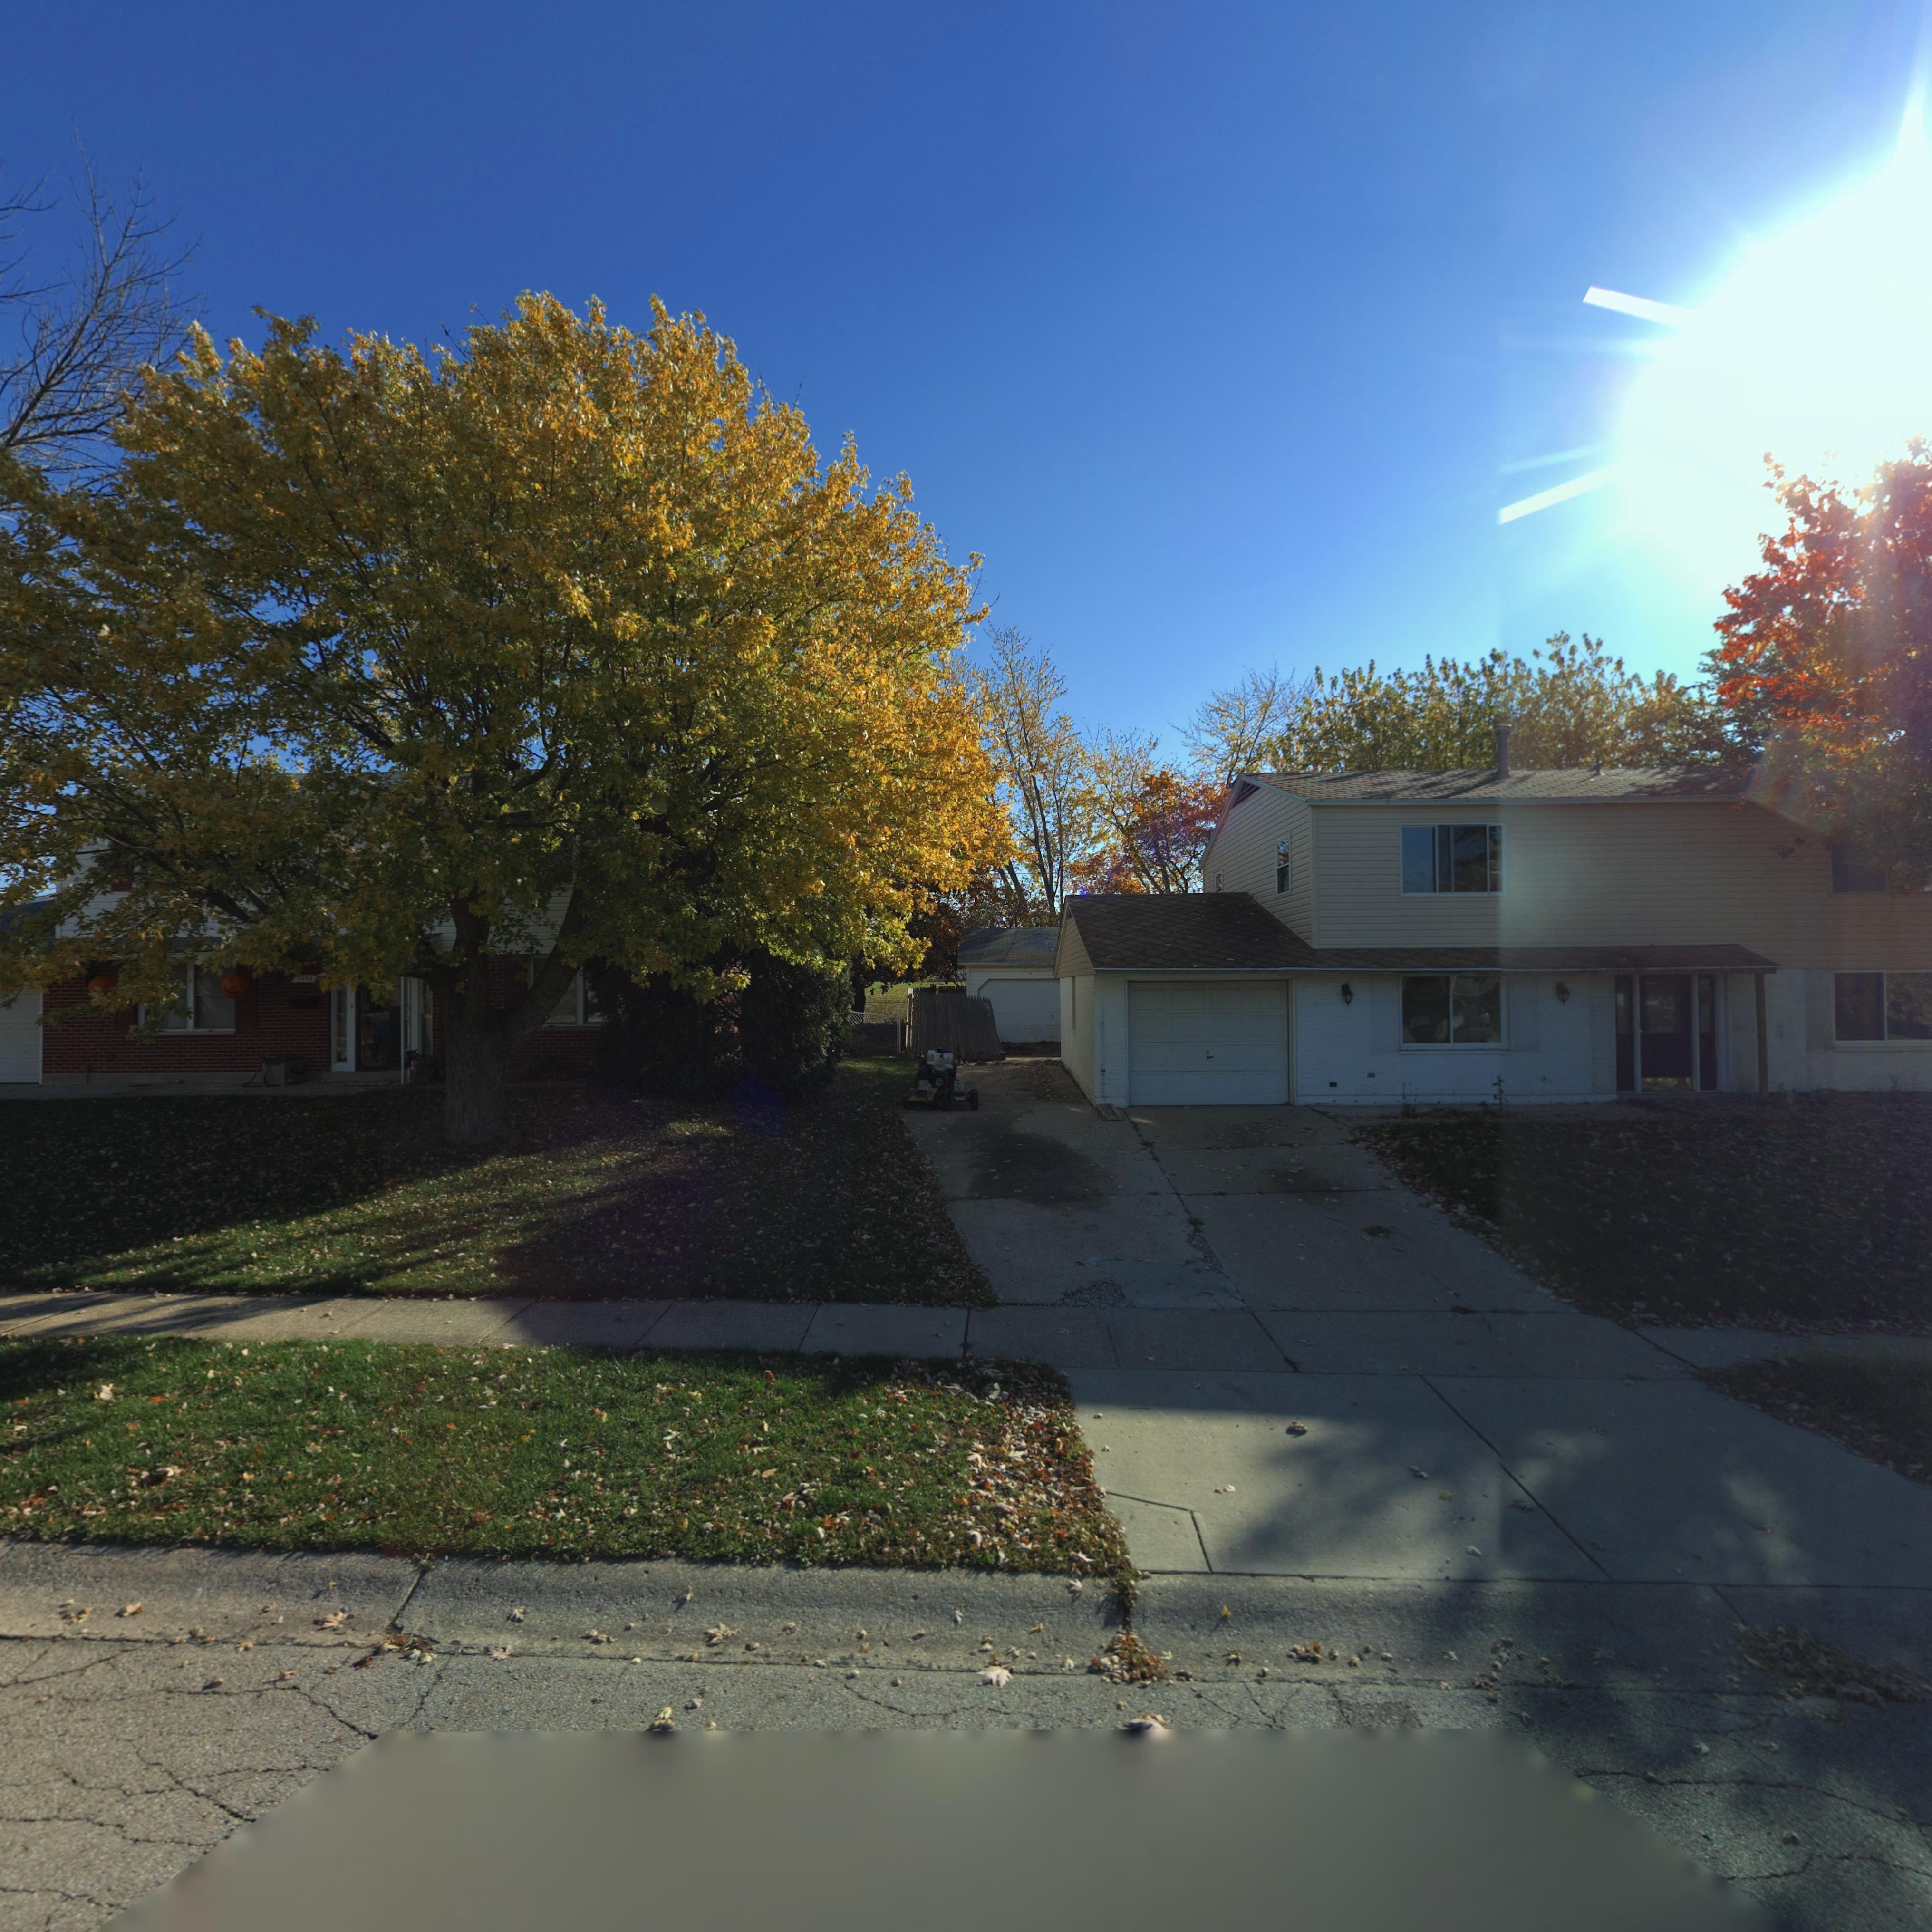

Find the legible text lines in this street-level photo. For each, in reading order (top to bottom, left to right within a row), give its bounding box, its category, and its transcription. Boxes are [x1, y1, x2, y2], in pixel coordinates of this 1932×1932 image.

[296, 975, 313, 982] StreetNumber: 7648